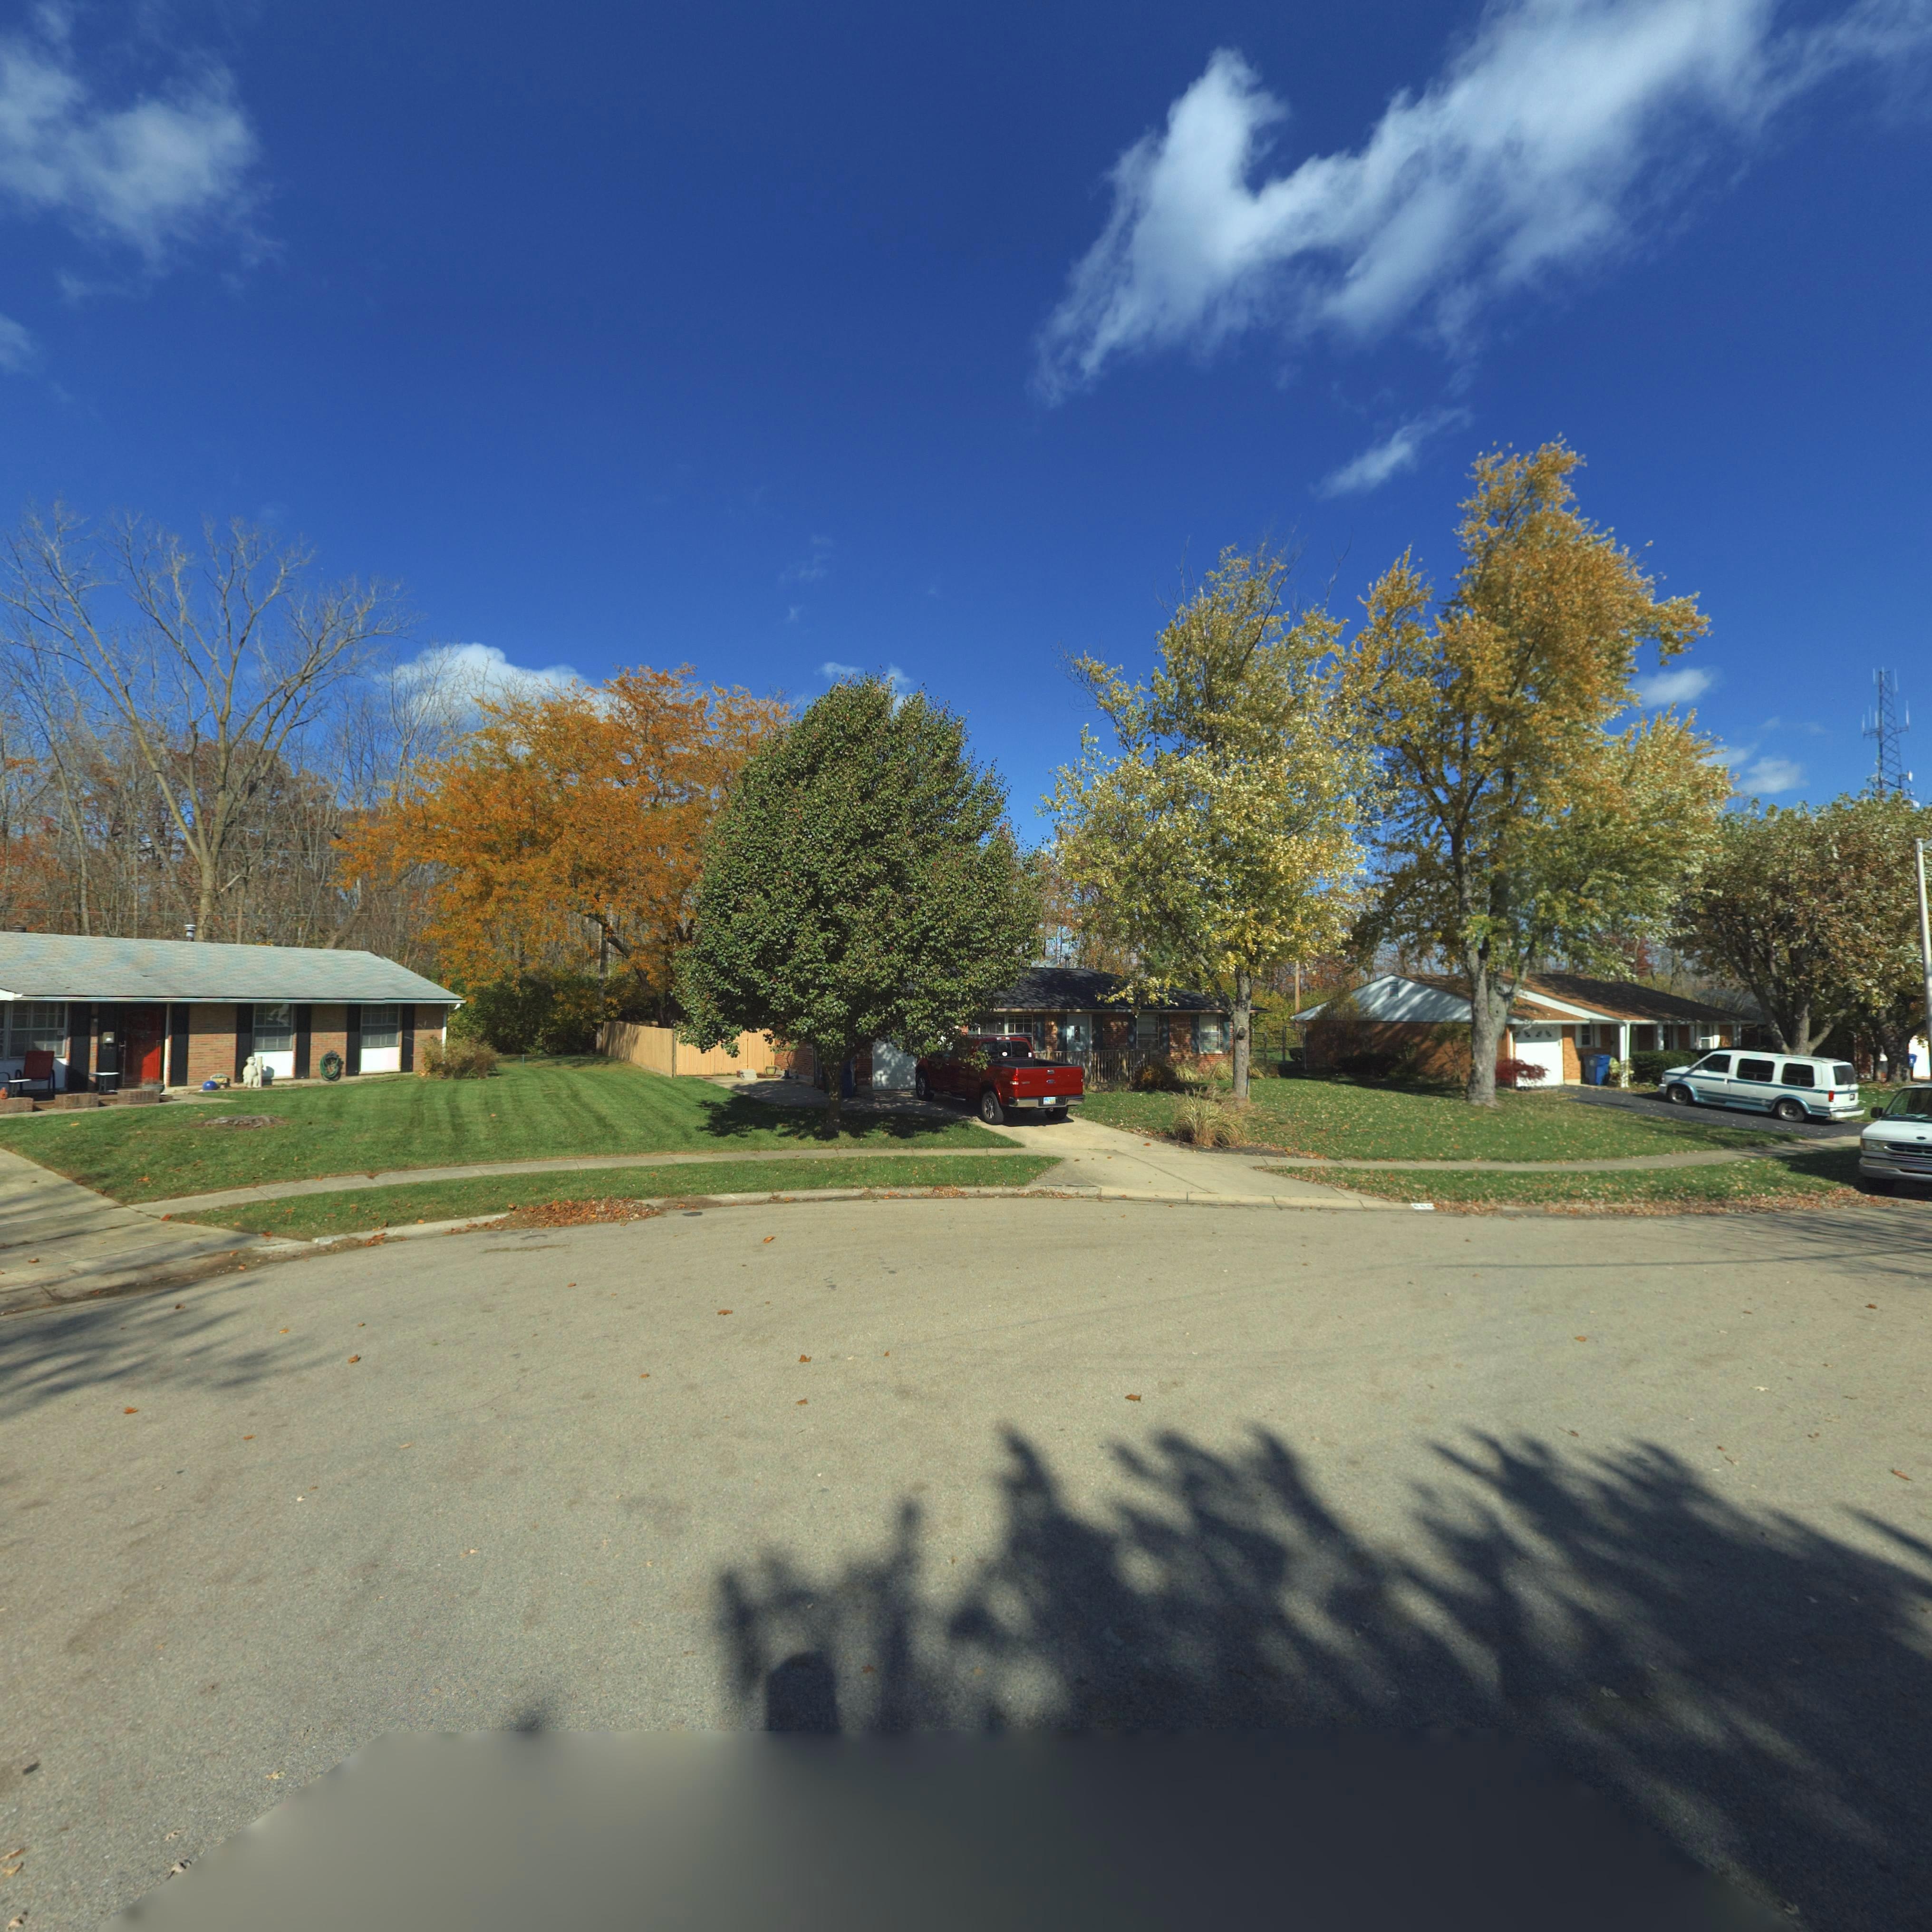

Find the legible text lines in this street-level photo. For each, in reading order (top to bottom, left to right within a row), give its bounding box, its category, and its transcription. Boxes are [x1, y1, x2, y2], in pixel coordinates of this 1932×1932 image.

[1413, 1204, 1434, 1208] StreetNumber: 665